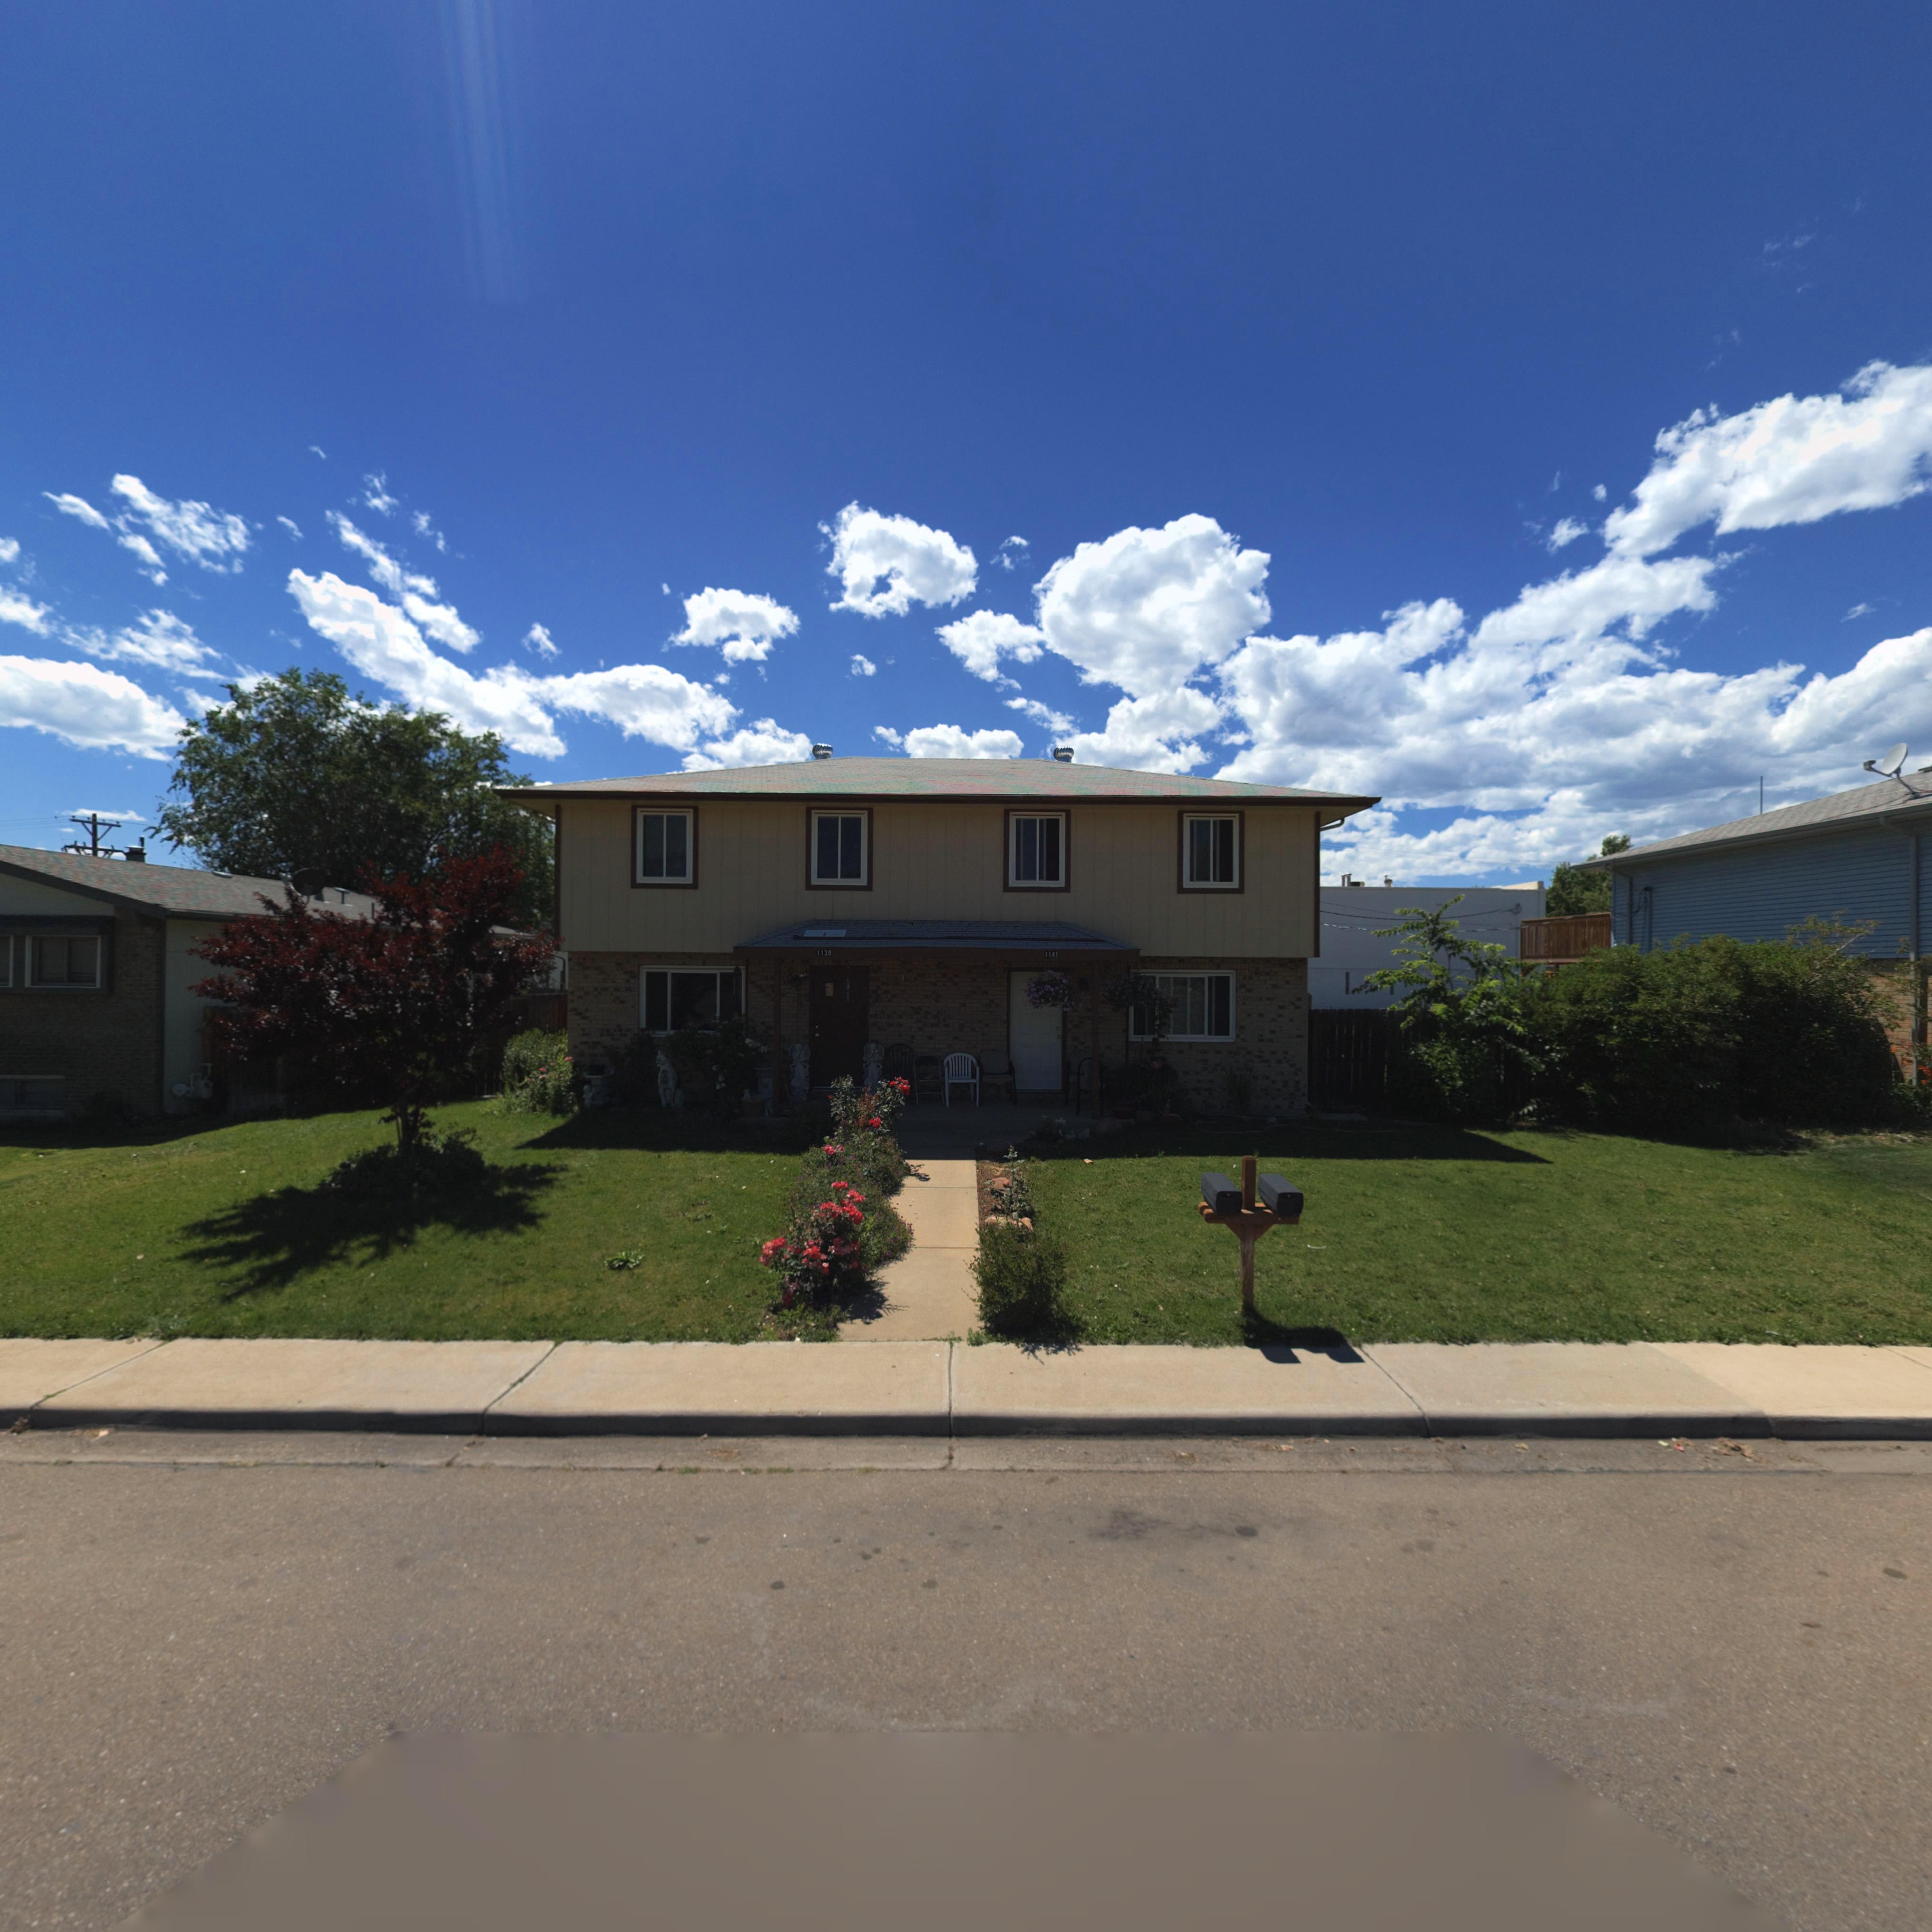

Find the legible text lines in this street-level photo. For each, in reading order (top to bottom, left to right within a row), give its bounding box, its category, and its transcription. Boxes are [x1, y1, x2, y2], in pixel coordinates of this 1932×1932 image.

[817, 949, 831, 956] StreetNumber: 1139
[1045, 951, 1058, 957] StreetNumber: 1141